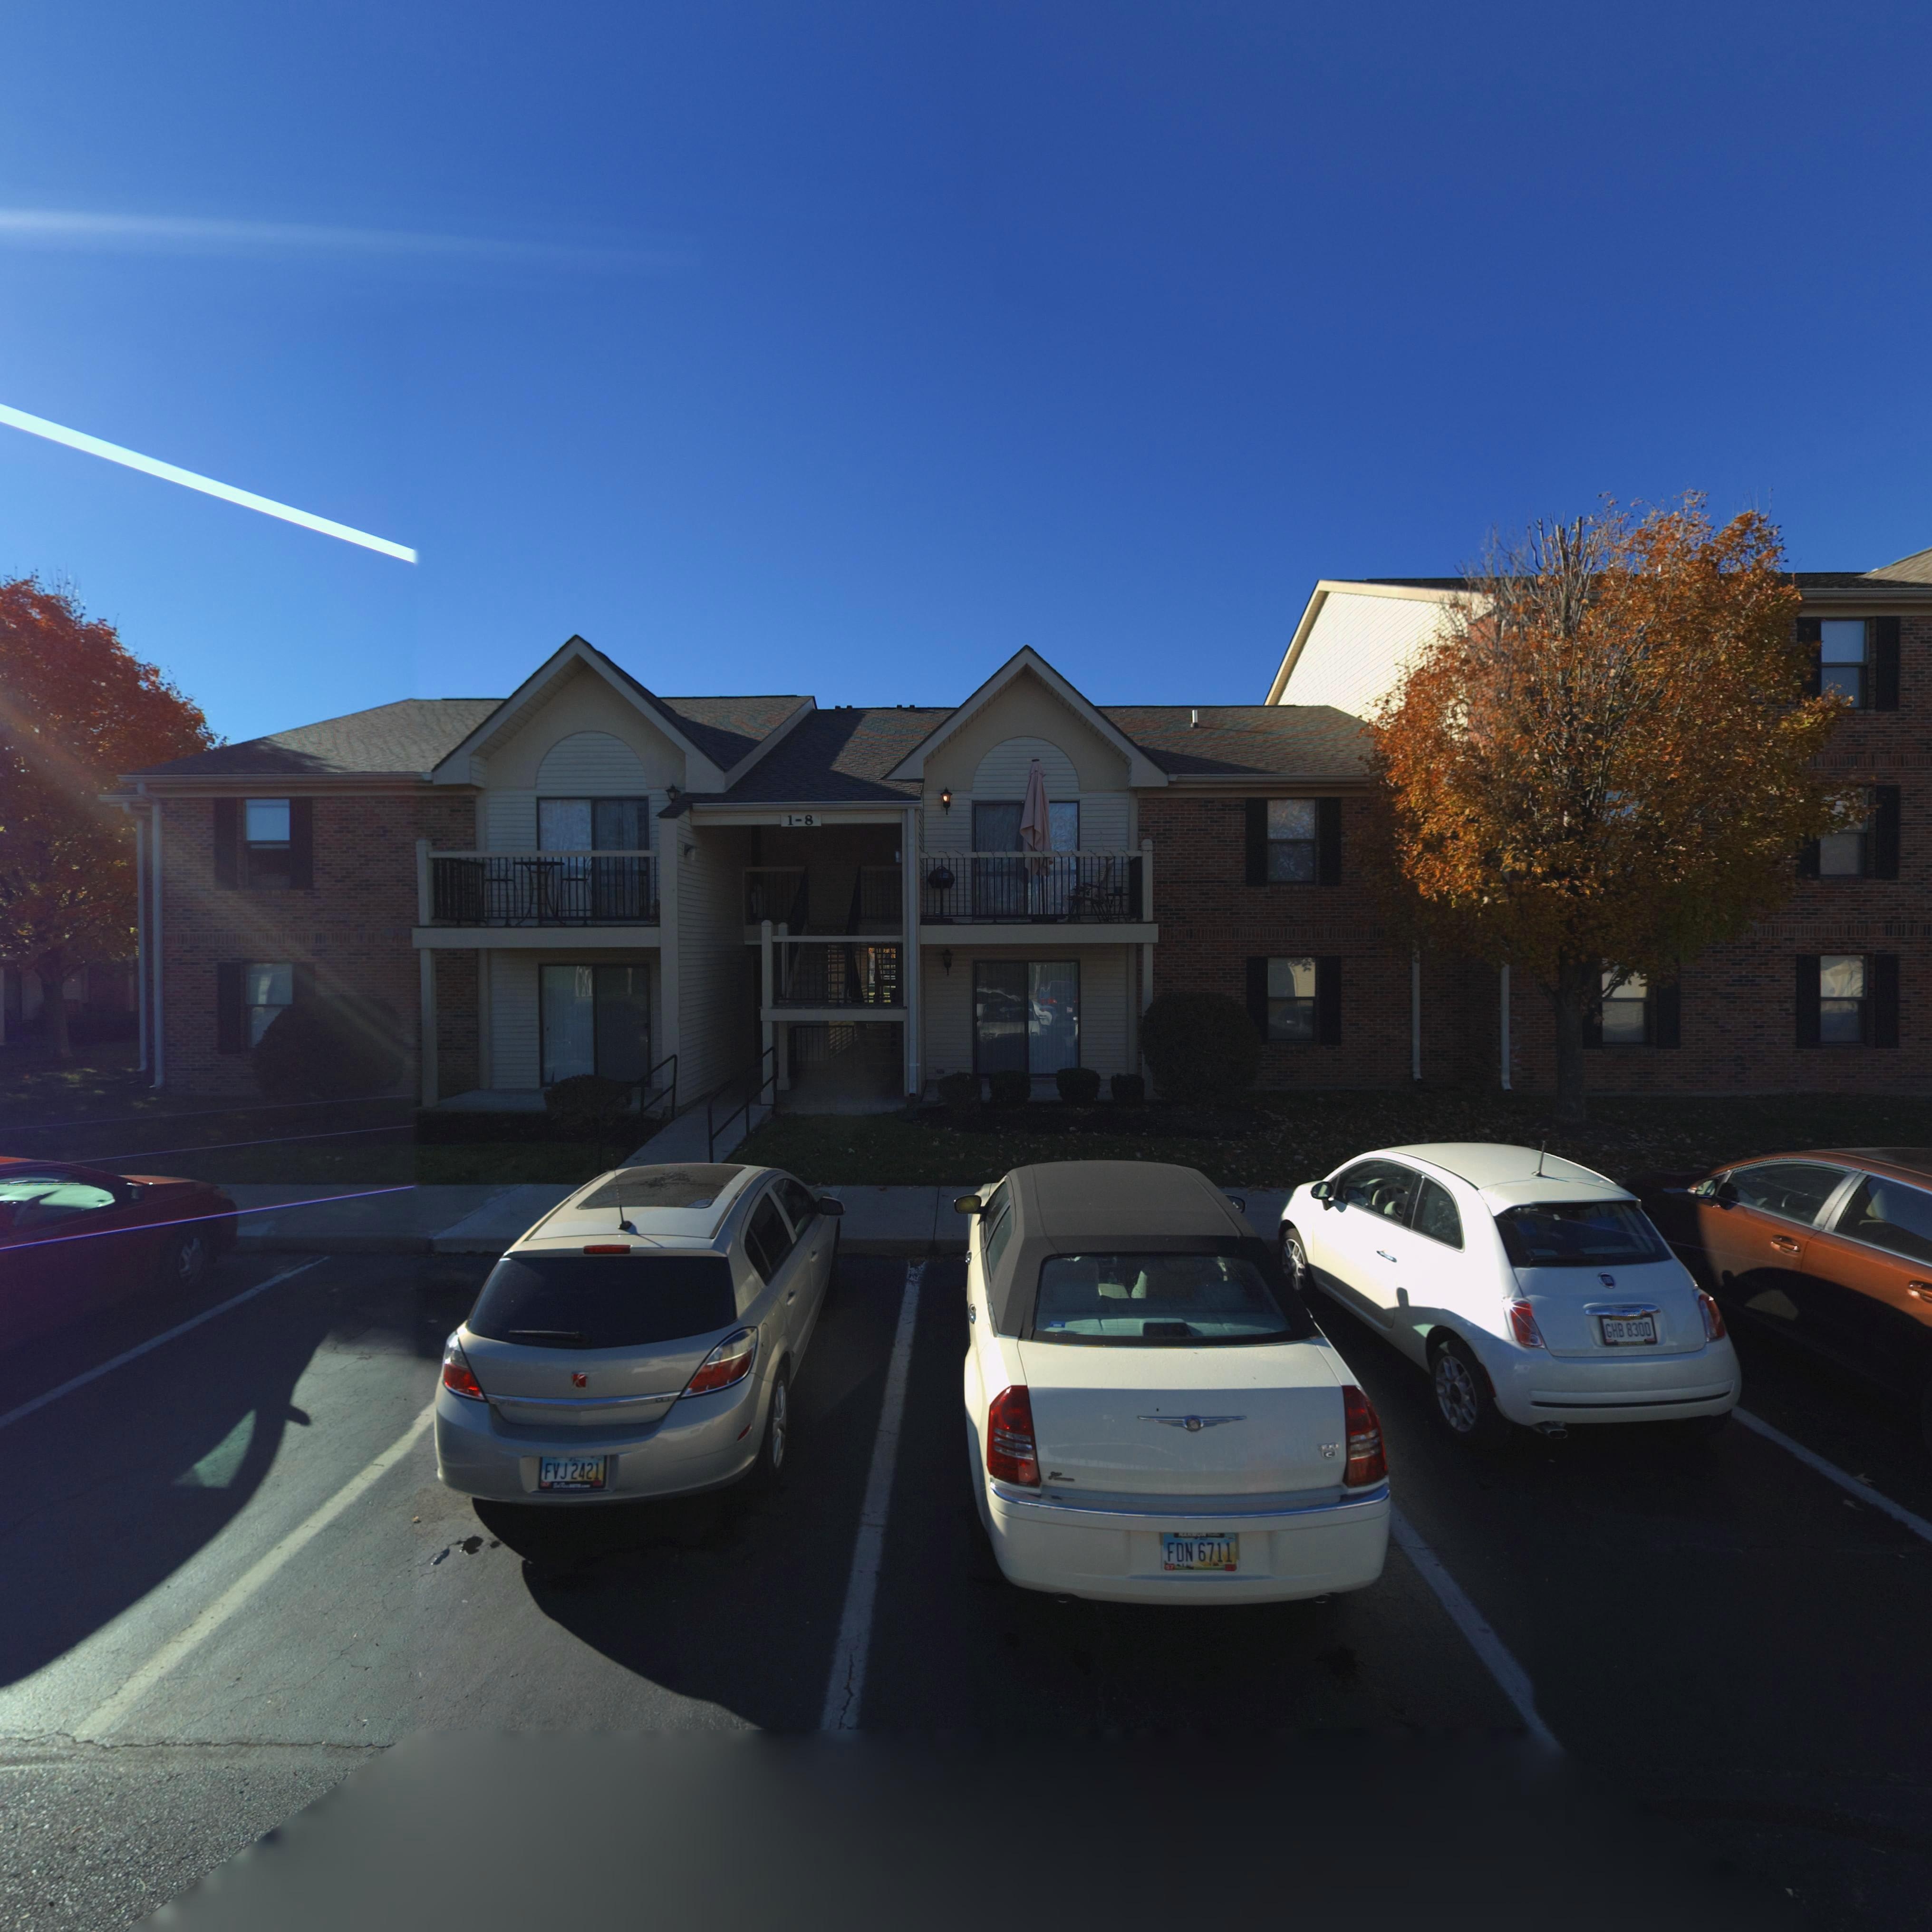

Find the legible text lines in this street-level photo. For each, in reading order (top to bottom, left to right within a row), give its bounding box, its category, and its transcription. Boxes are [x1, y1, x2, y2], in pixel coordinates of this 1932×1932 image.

[786, 814, 814, 826] StreetNumber: 1-8